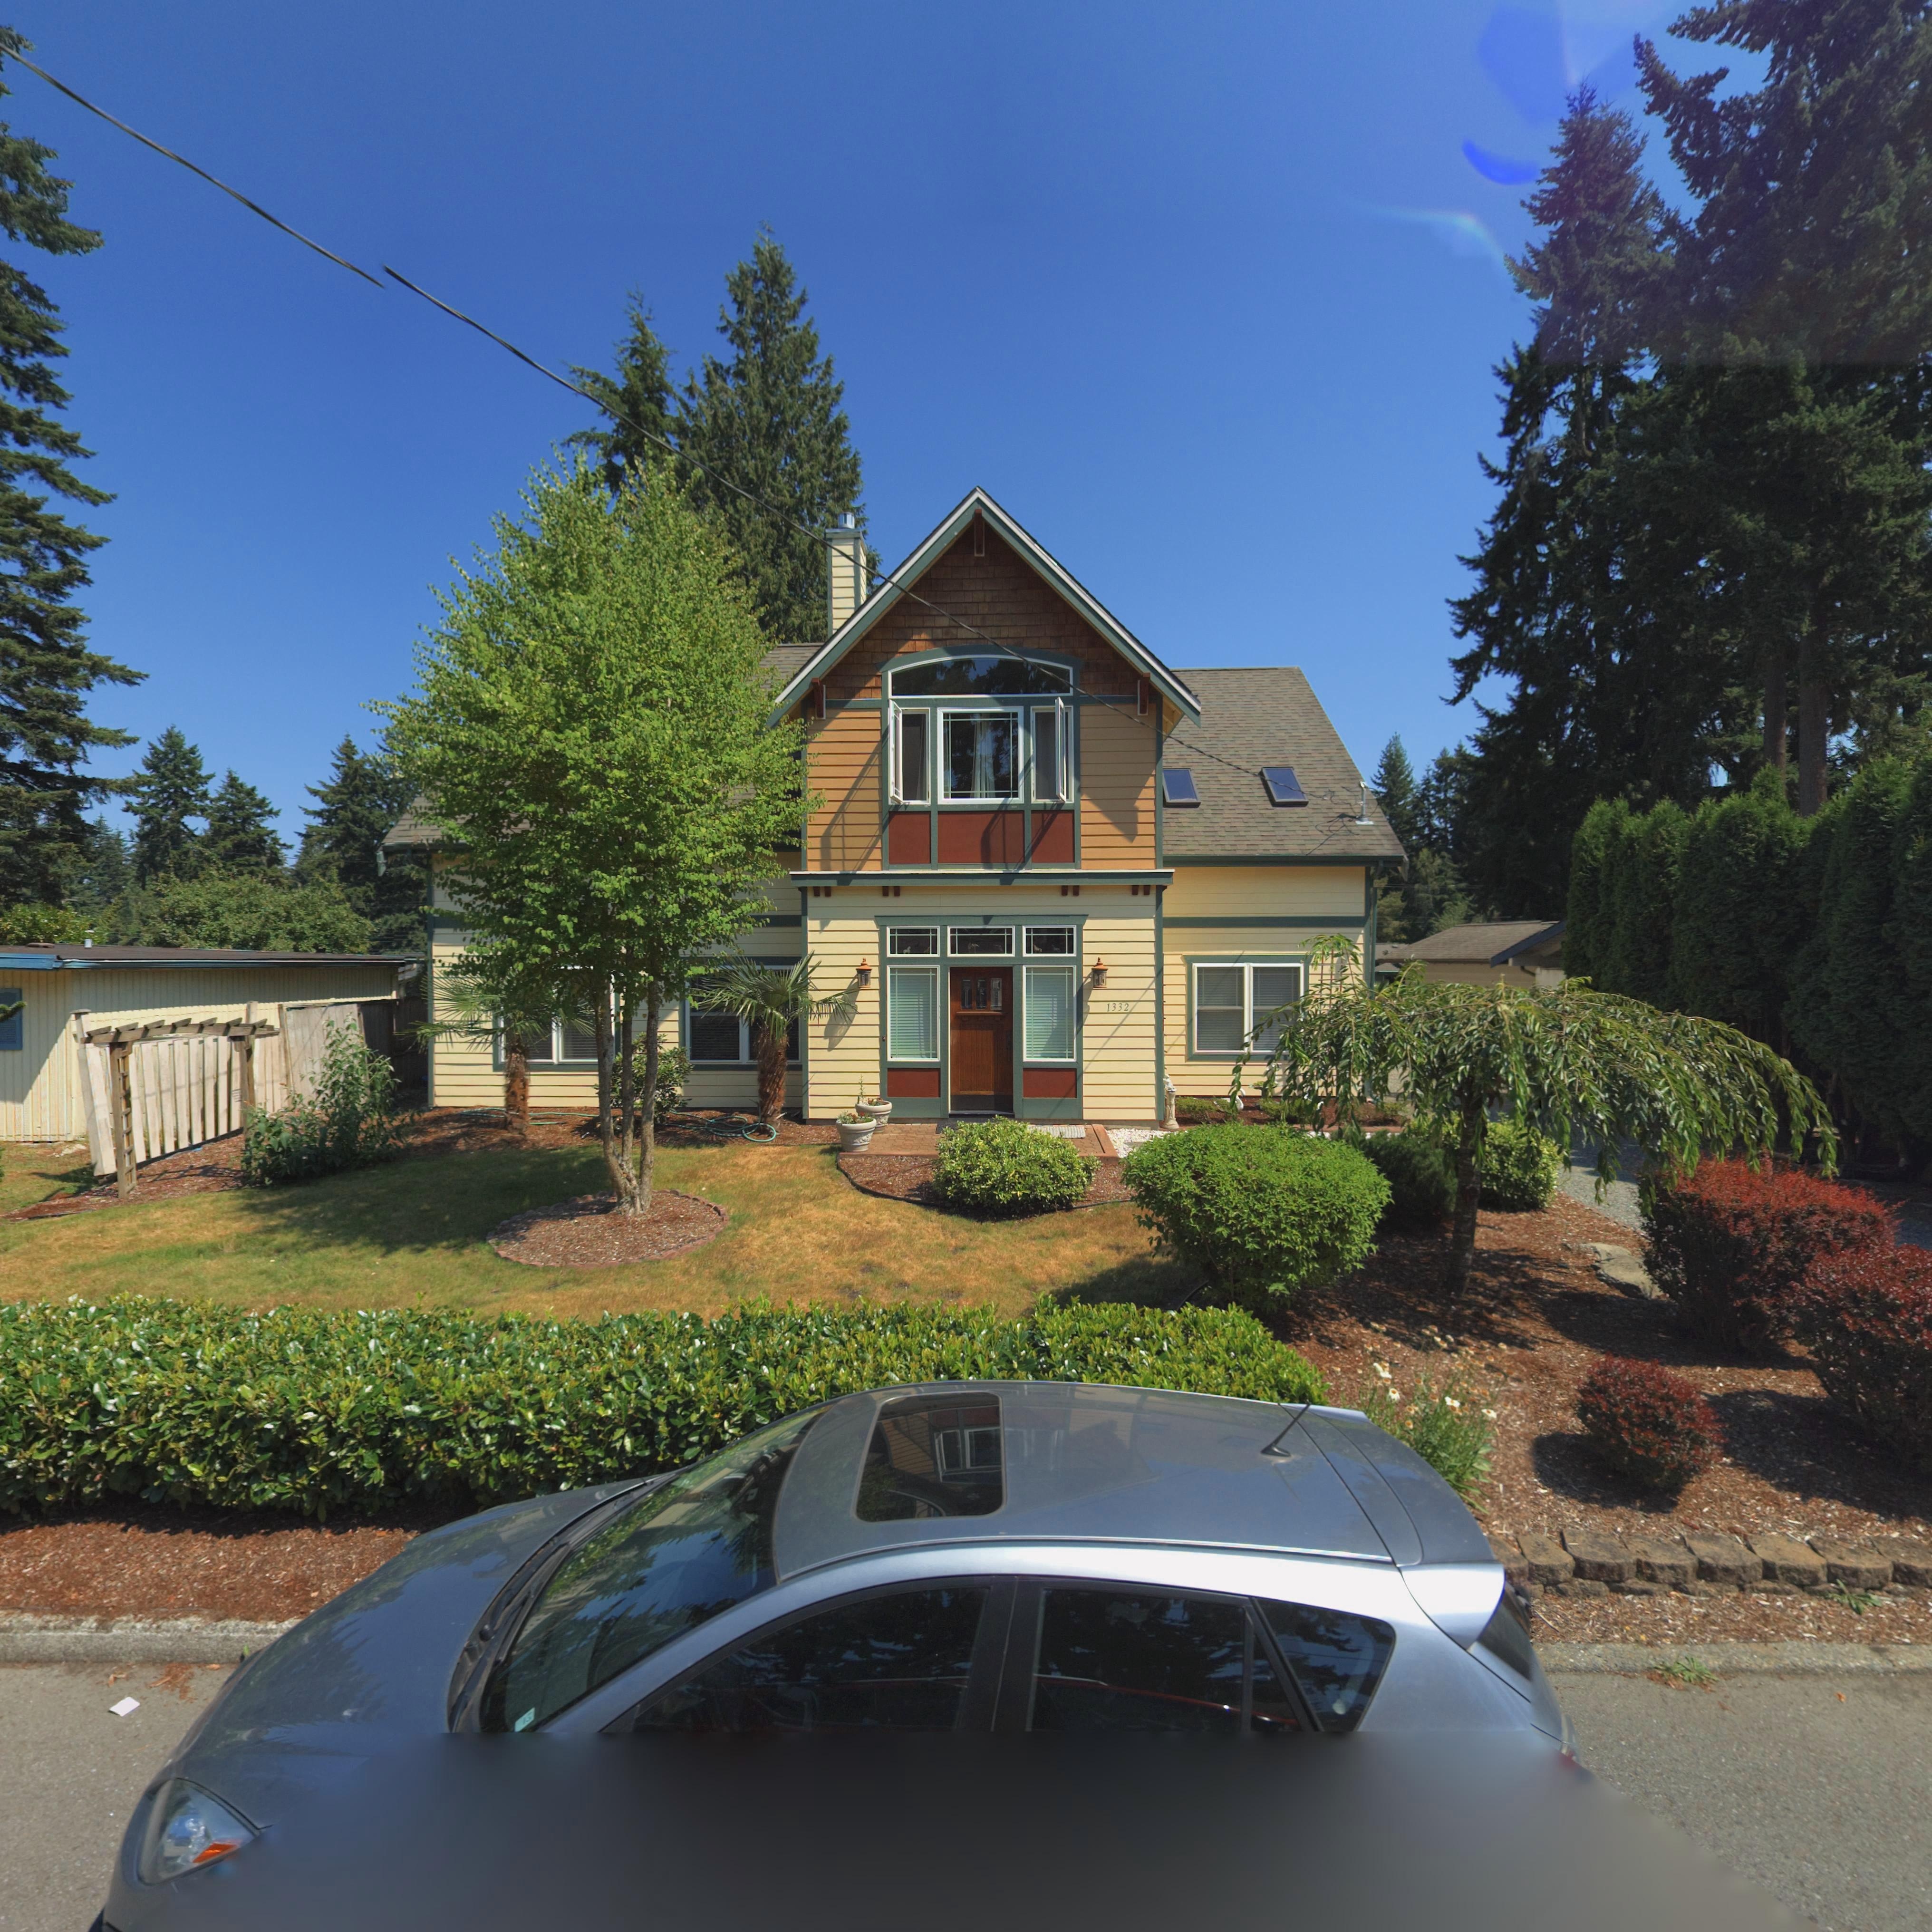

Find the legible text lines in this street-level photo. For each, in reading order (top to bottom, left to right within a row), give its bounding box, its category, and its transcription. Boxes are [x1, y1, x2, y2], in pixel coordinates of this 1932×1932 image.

[1105, 1001, 1129, 1012] StreetNumber: 1332